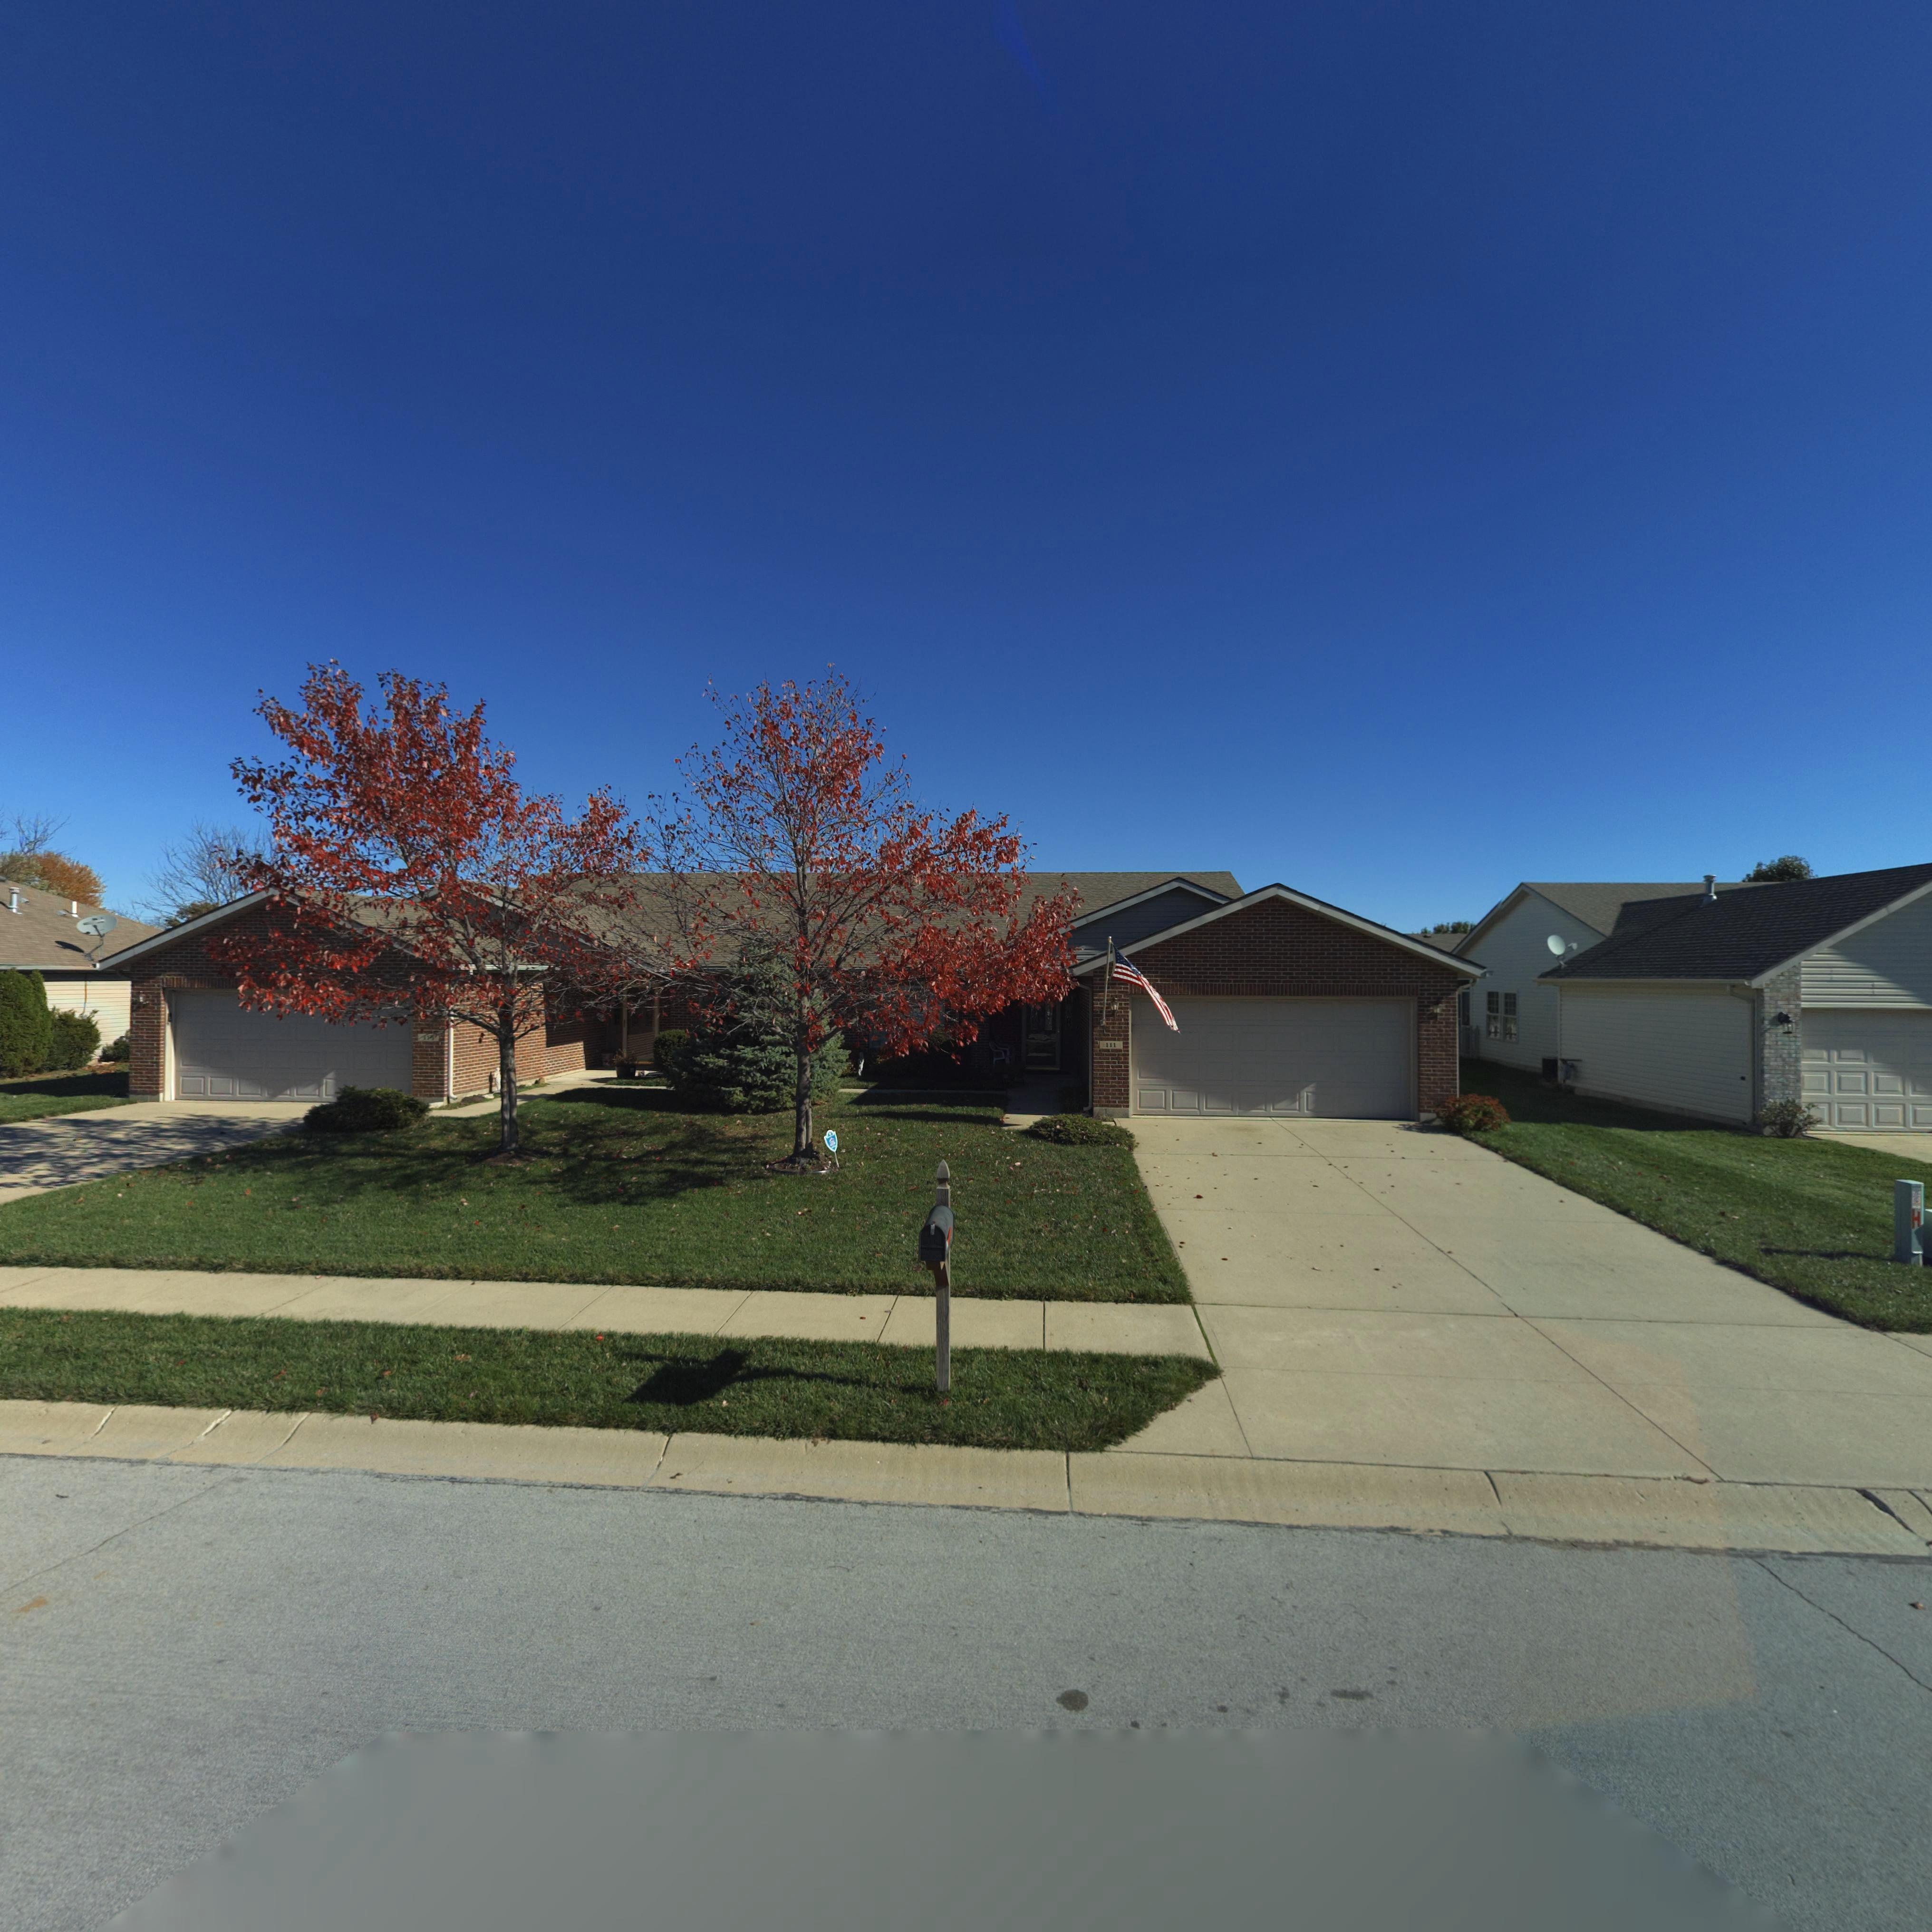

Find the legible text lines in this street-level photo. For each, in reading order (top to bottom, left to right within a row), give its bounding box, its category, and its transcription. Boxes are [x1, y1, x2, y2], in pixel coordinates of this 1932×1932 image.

[423, 1035, 430, 1040] StreetNumber: 11
[1105, 1042, 1117, 1048] StreetNumber: 111